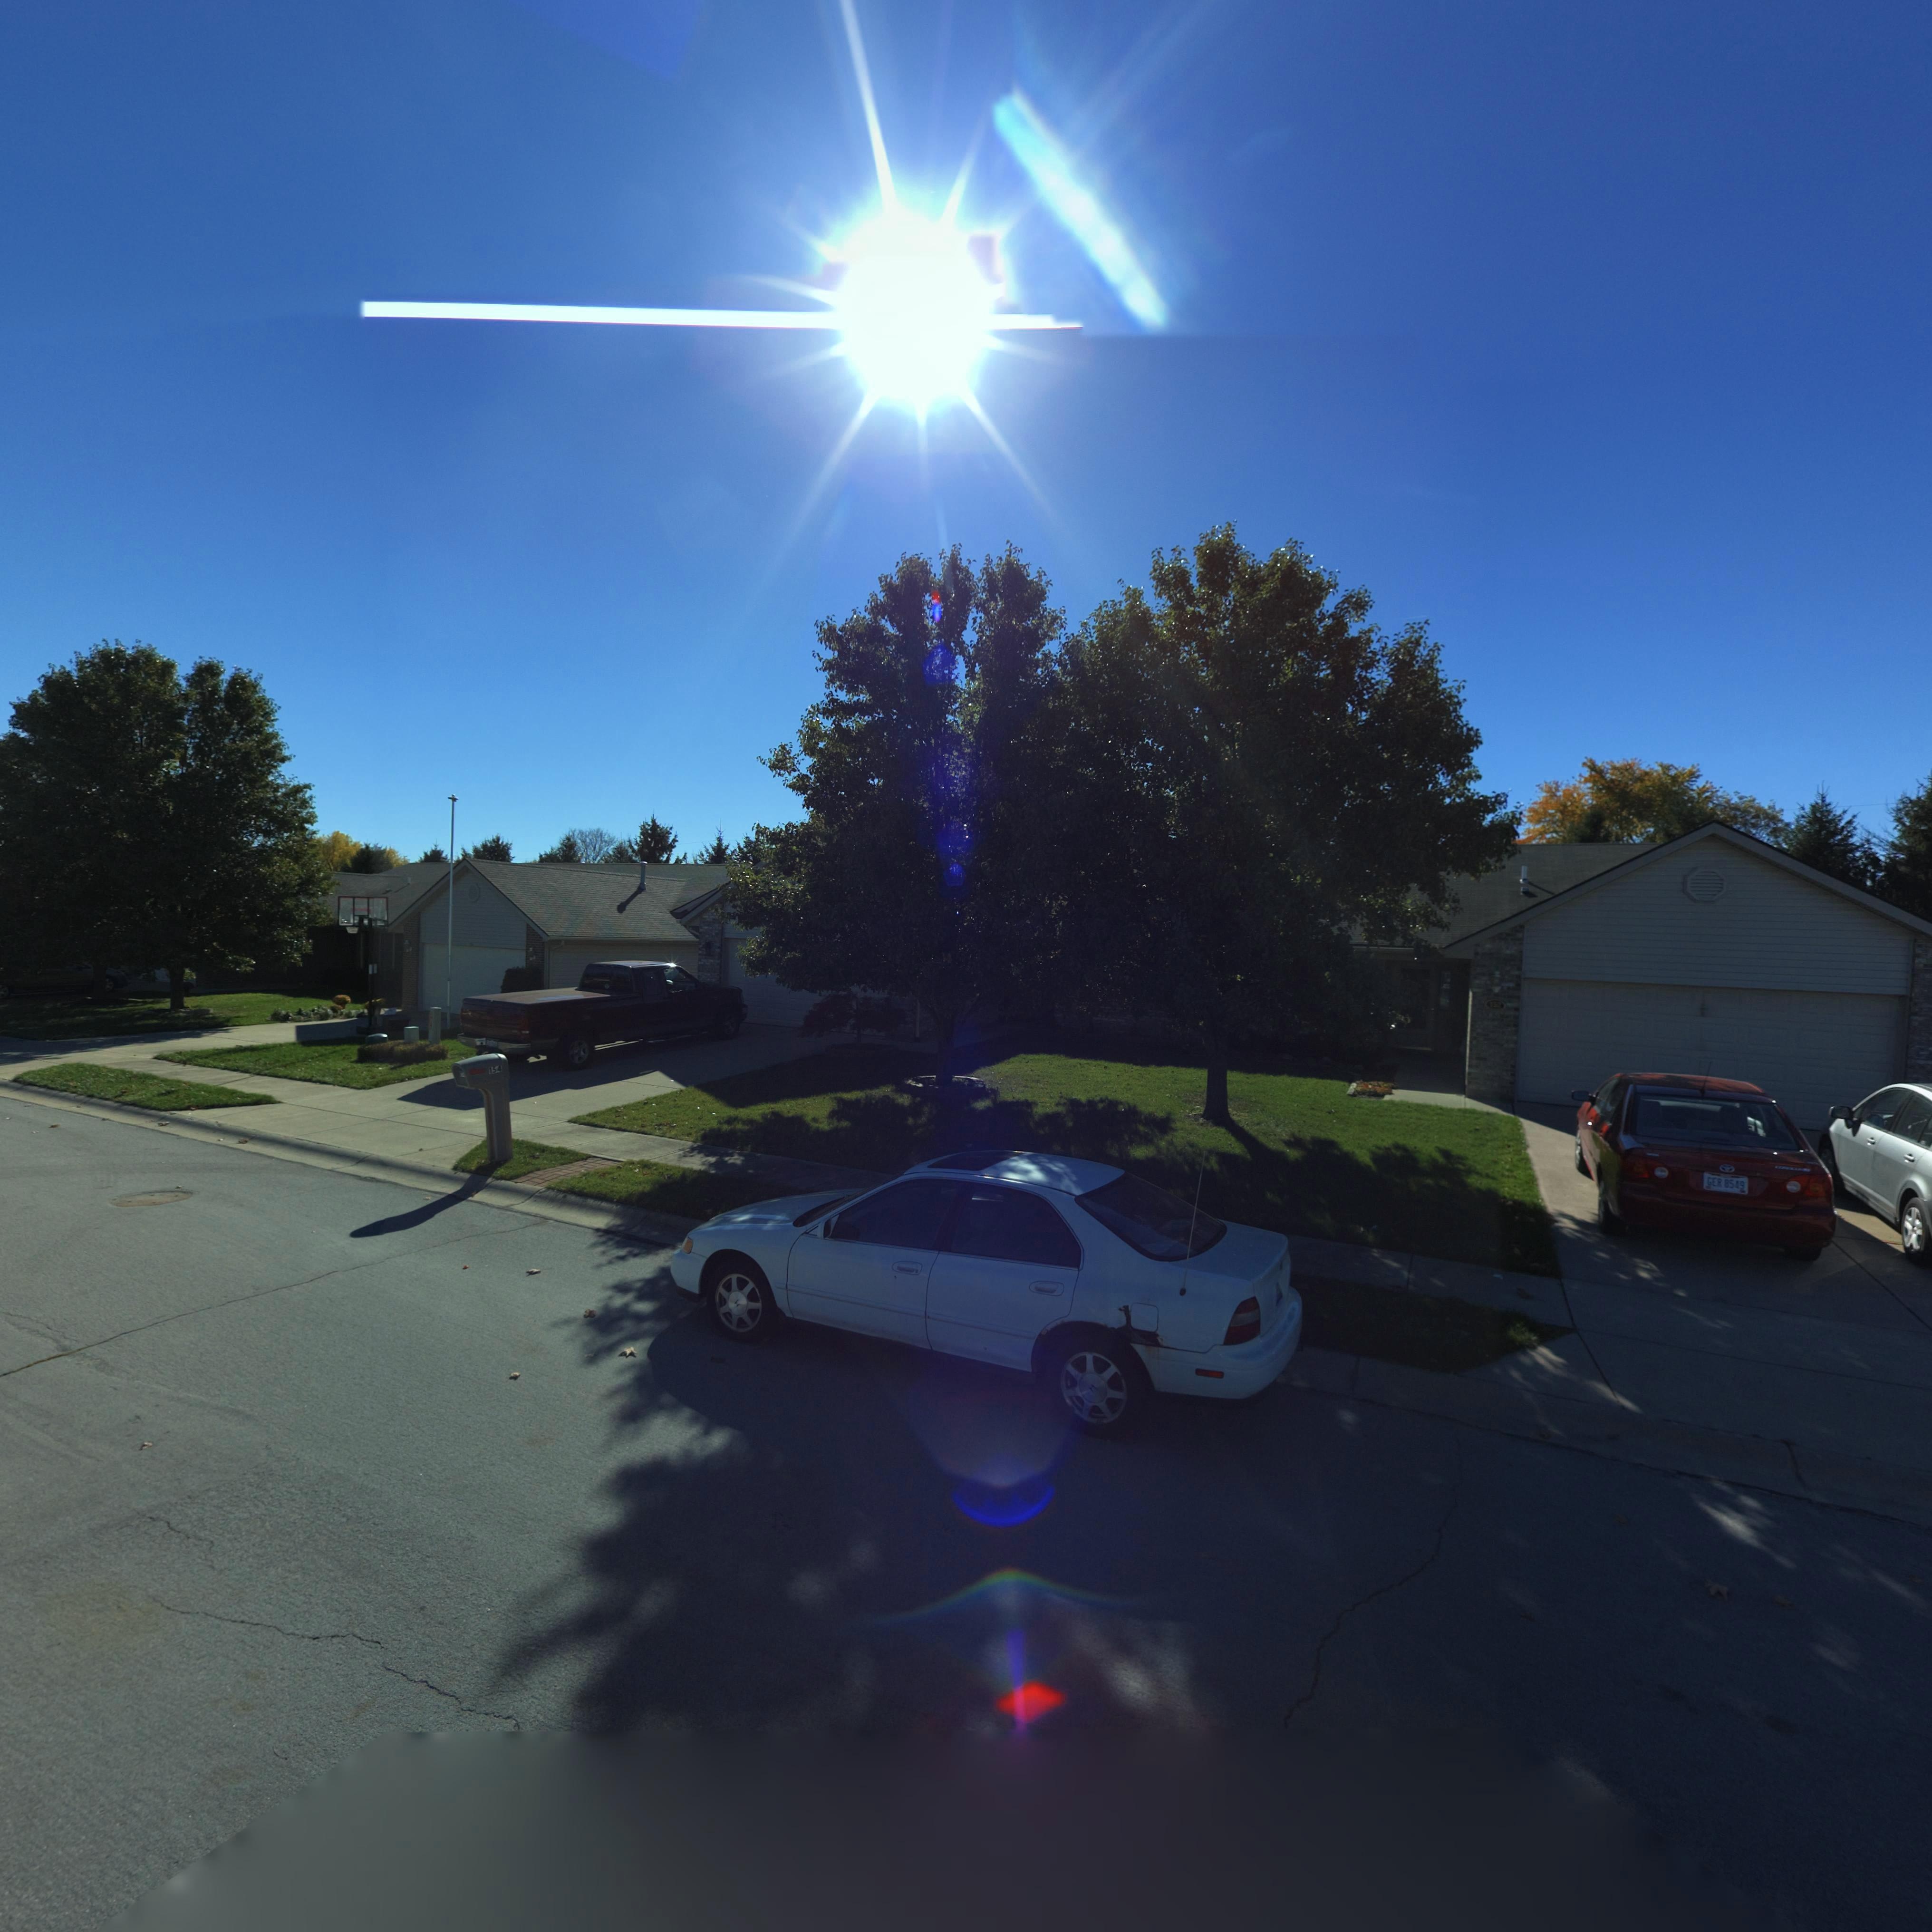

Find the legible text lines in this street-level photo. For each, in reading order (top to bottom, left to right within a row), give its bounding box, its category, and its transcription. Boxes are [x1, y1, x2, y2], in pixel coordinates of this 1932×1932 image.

[1489, 1001, 1503, 1009] StreetNumber: 152
[488, 1065, 502, 1074] StreetNumber: 154
[1706, 1175, 1746, 1192] None: GER 8549